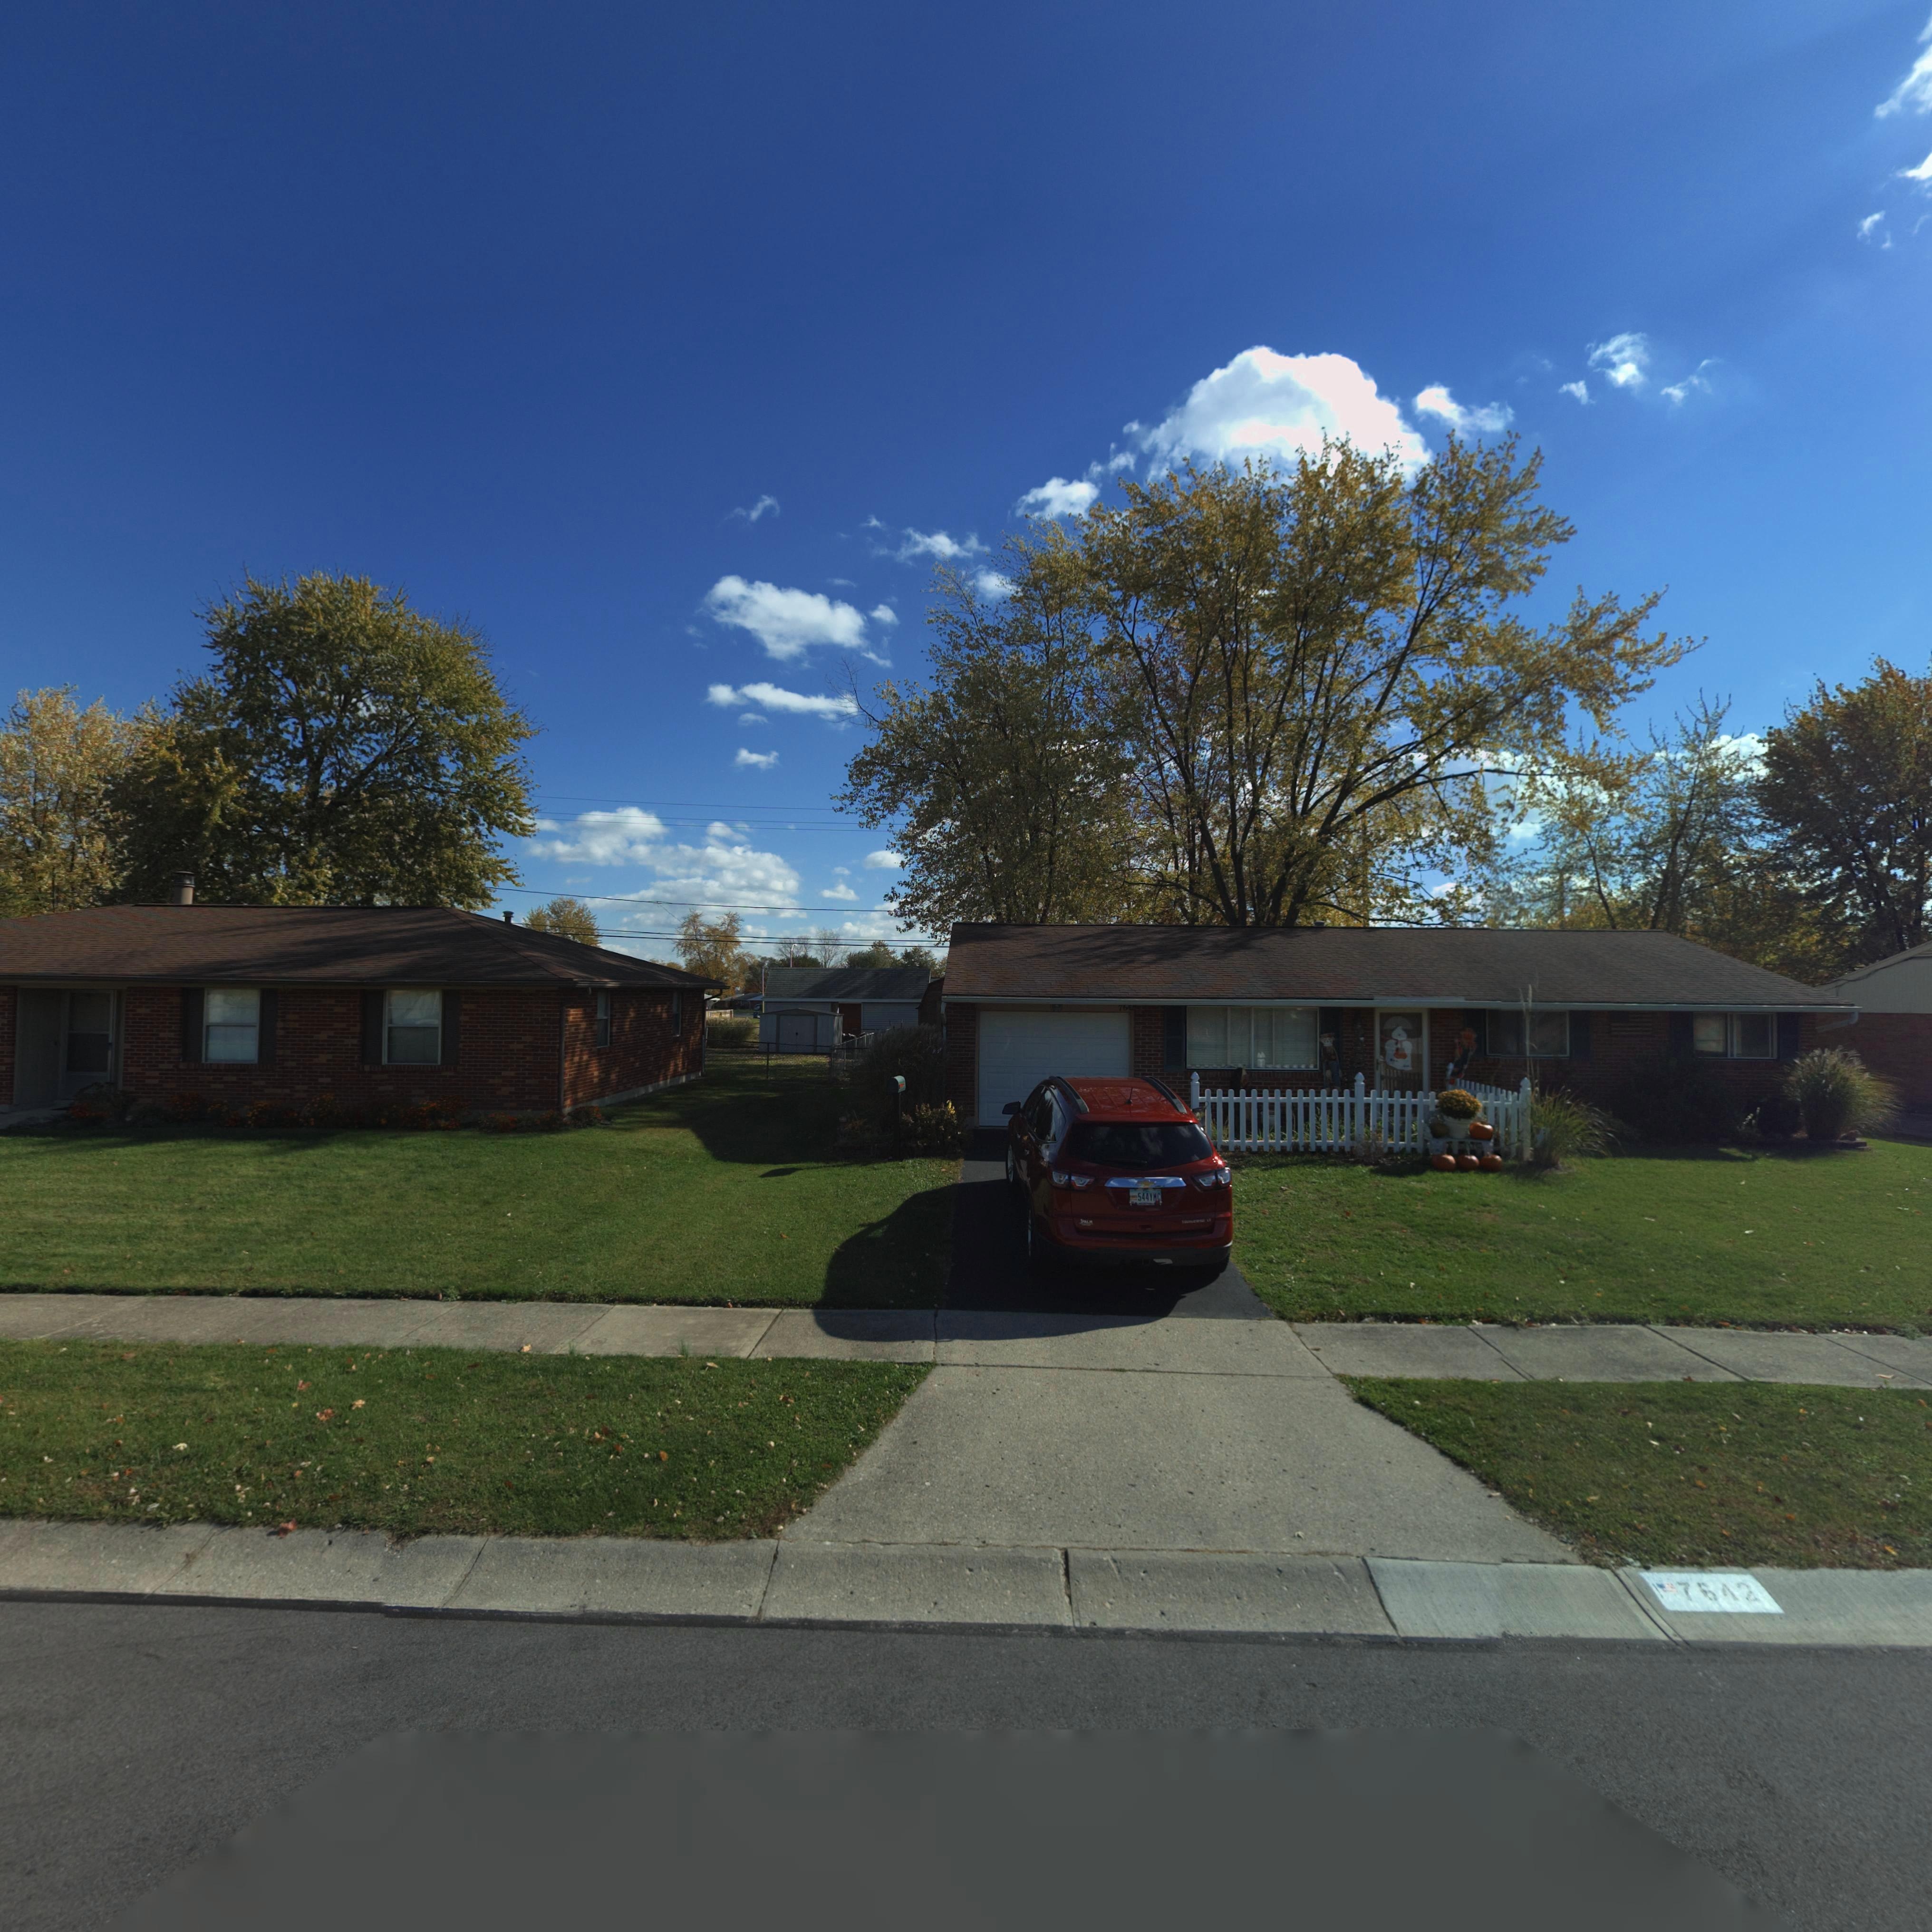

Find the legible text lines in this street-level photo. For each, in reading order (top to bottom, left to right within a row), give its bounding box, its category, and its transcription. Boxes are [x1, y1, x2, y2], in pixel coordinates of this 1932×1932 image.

[1117, 1003, 1129, 1013] StreetNumber: 76
[1673, 1579, 1761, 1604] StreetNumber: 7642